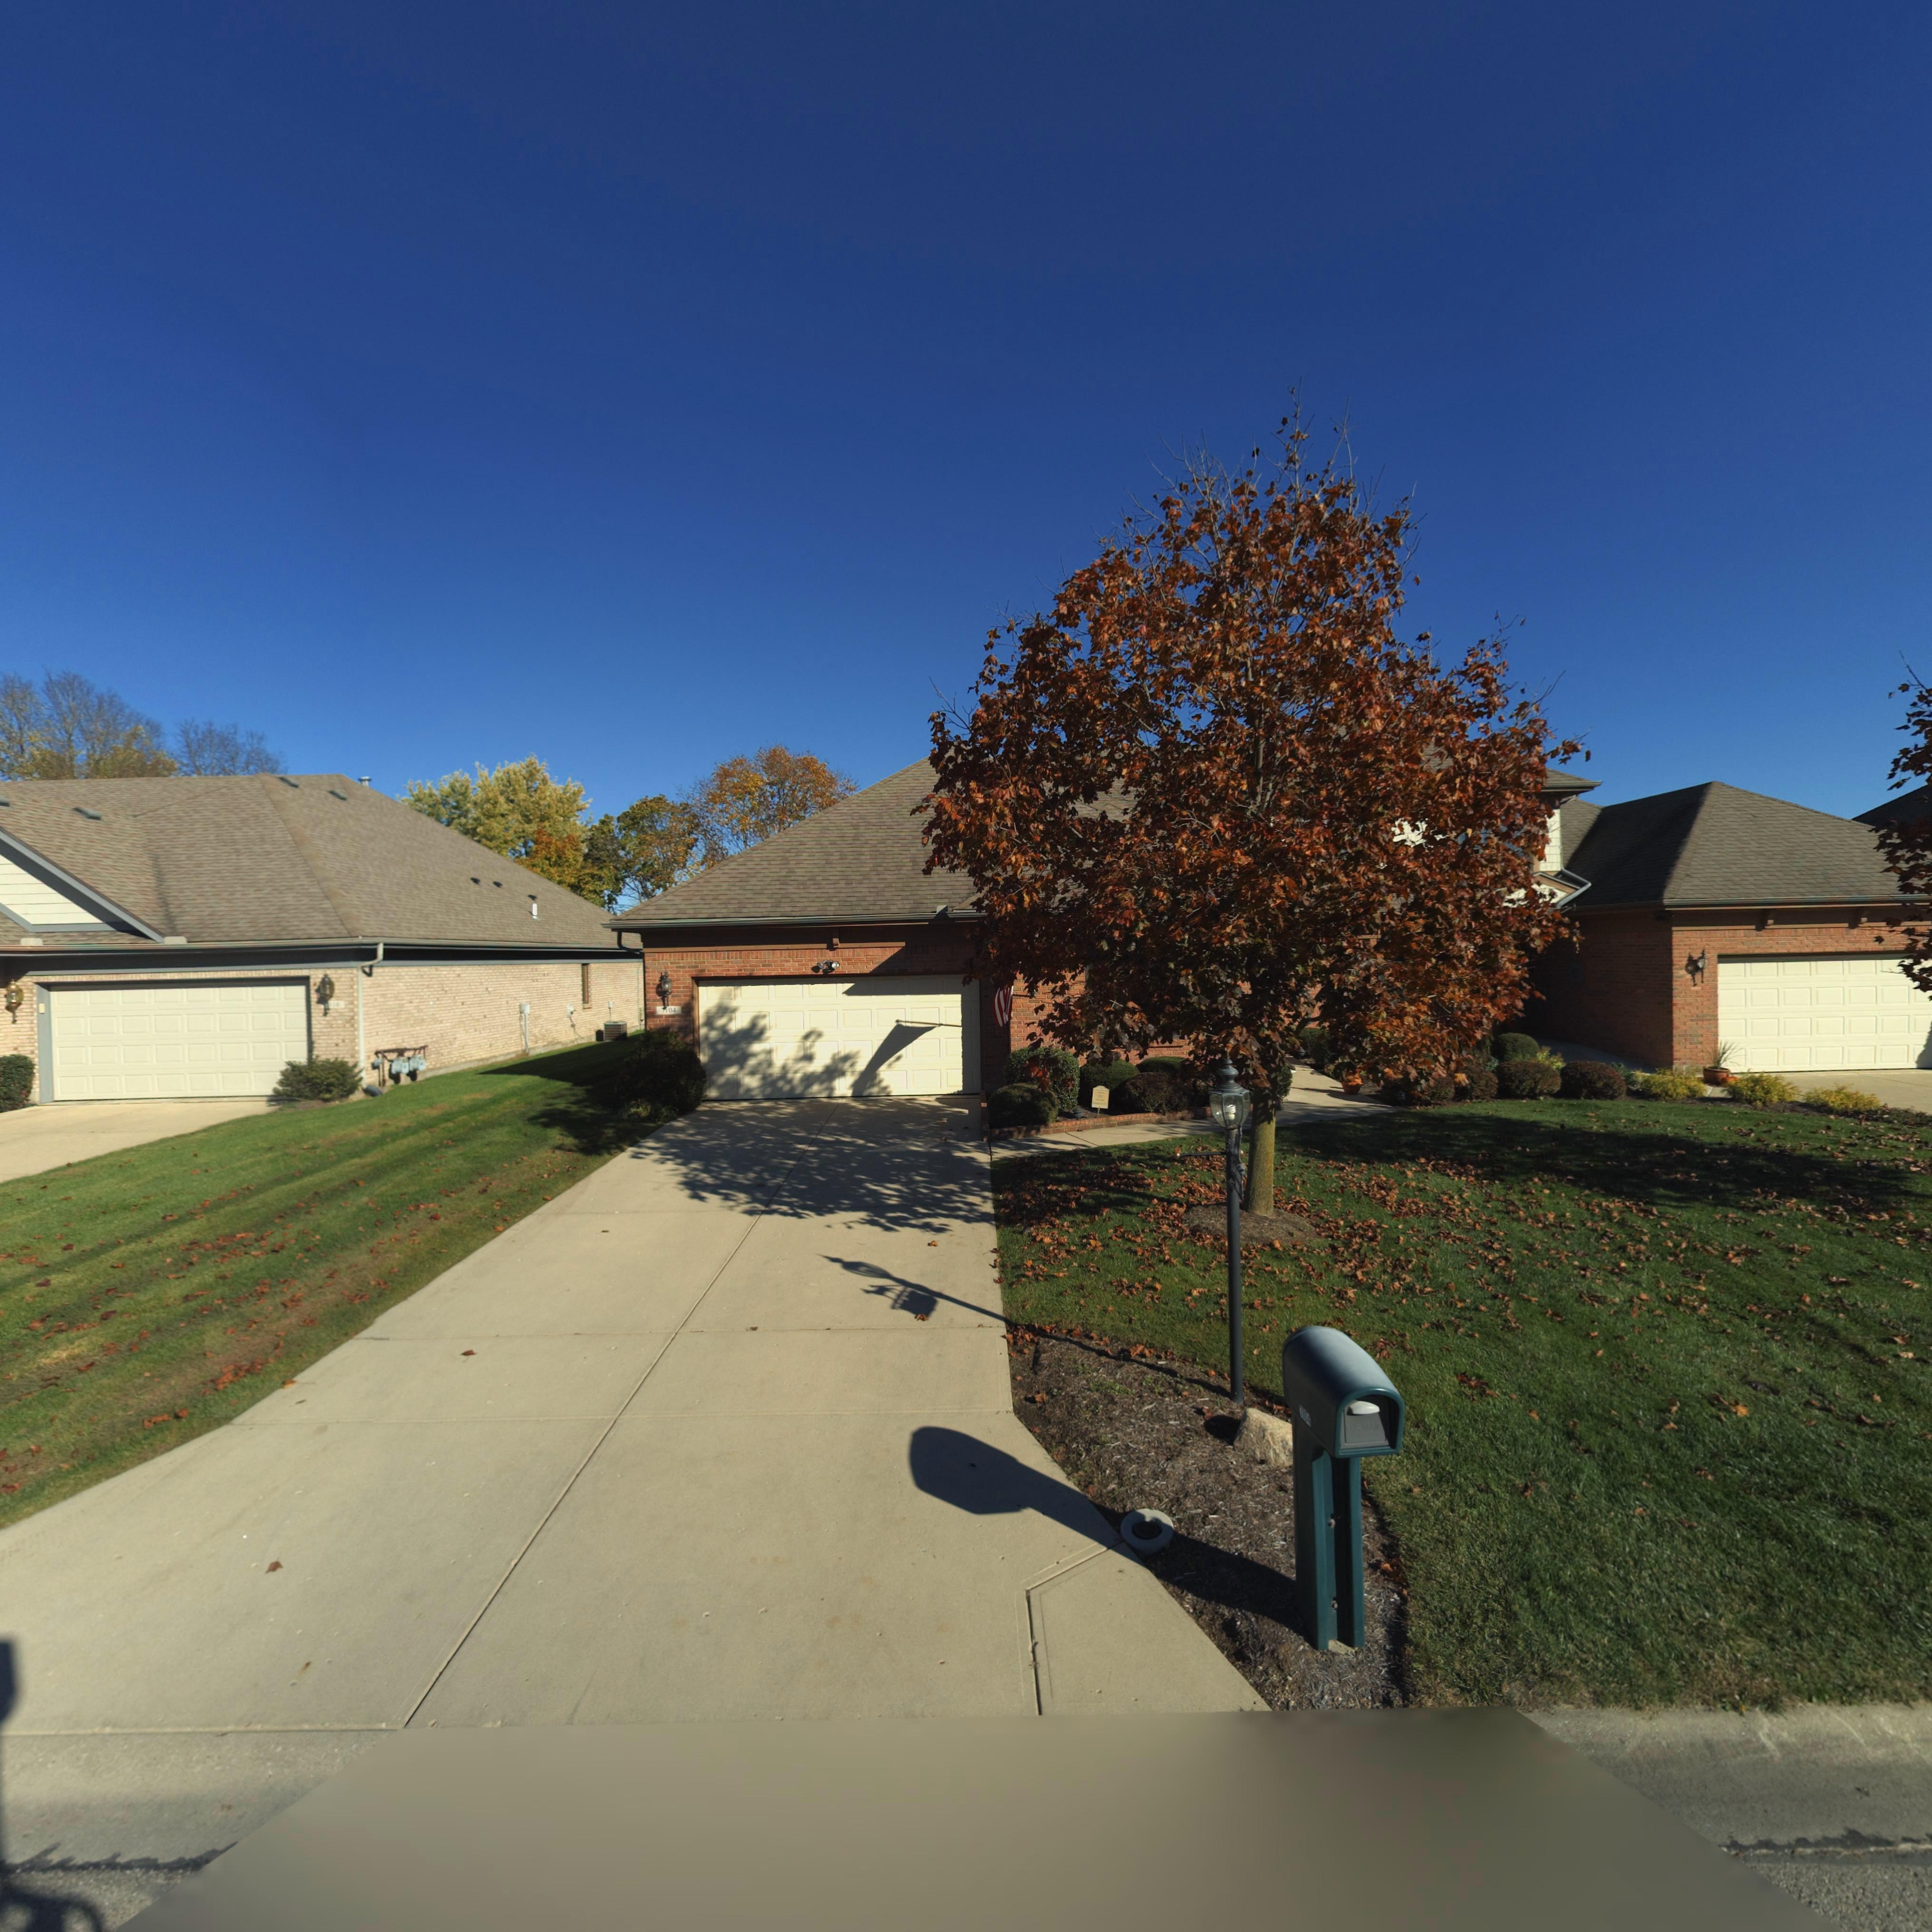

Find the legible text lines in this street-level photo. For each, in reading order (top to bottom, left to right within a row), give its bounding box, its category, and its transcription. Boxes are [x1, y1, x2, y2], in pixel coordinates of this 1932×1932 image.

[325, 1001, 341, 1008] StreetNumber: 7110
[661, 1007, 676, 1014] StreetNumber: 7104
[1299, 1404, 1311, 1427] StreetNumber: 7104